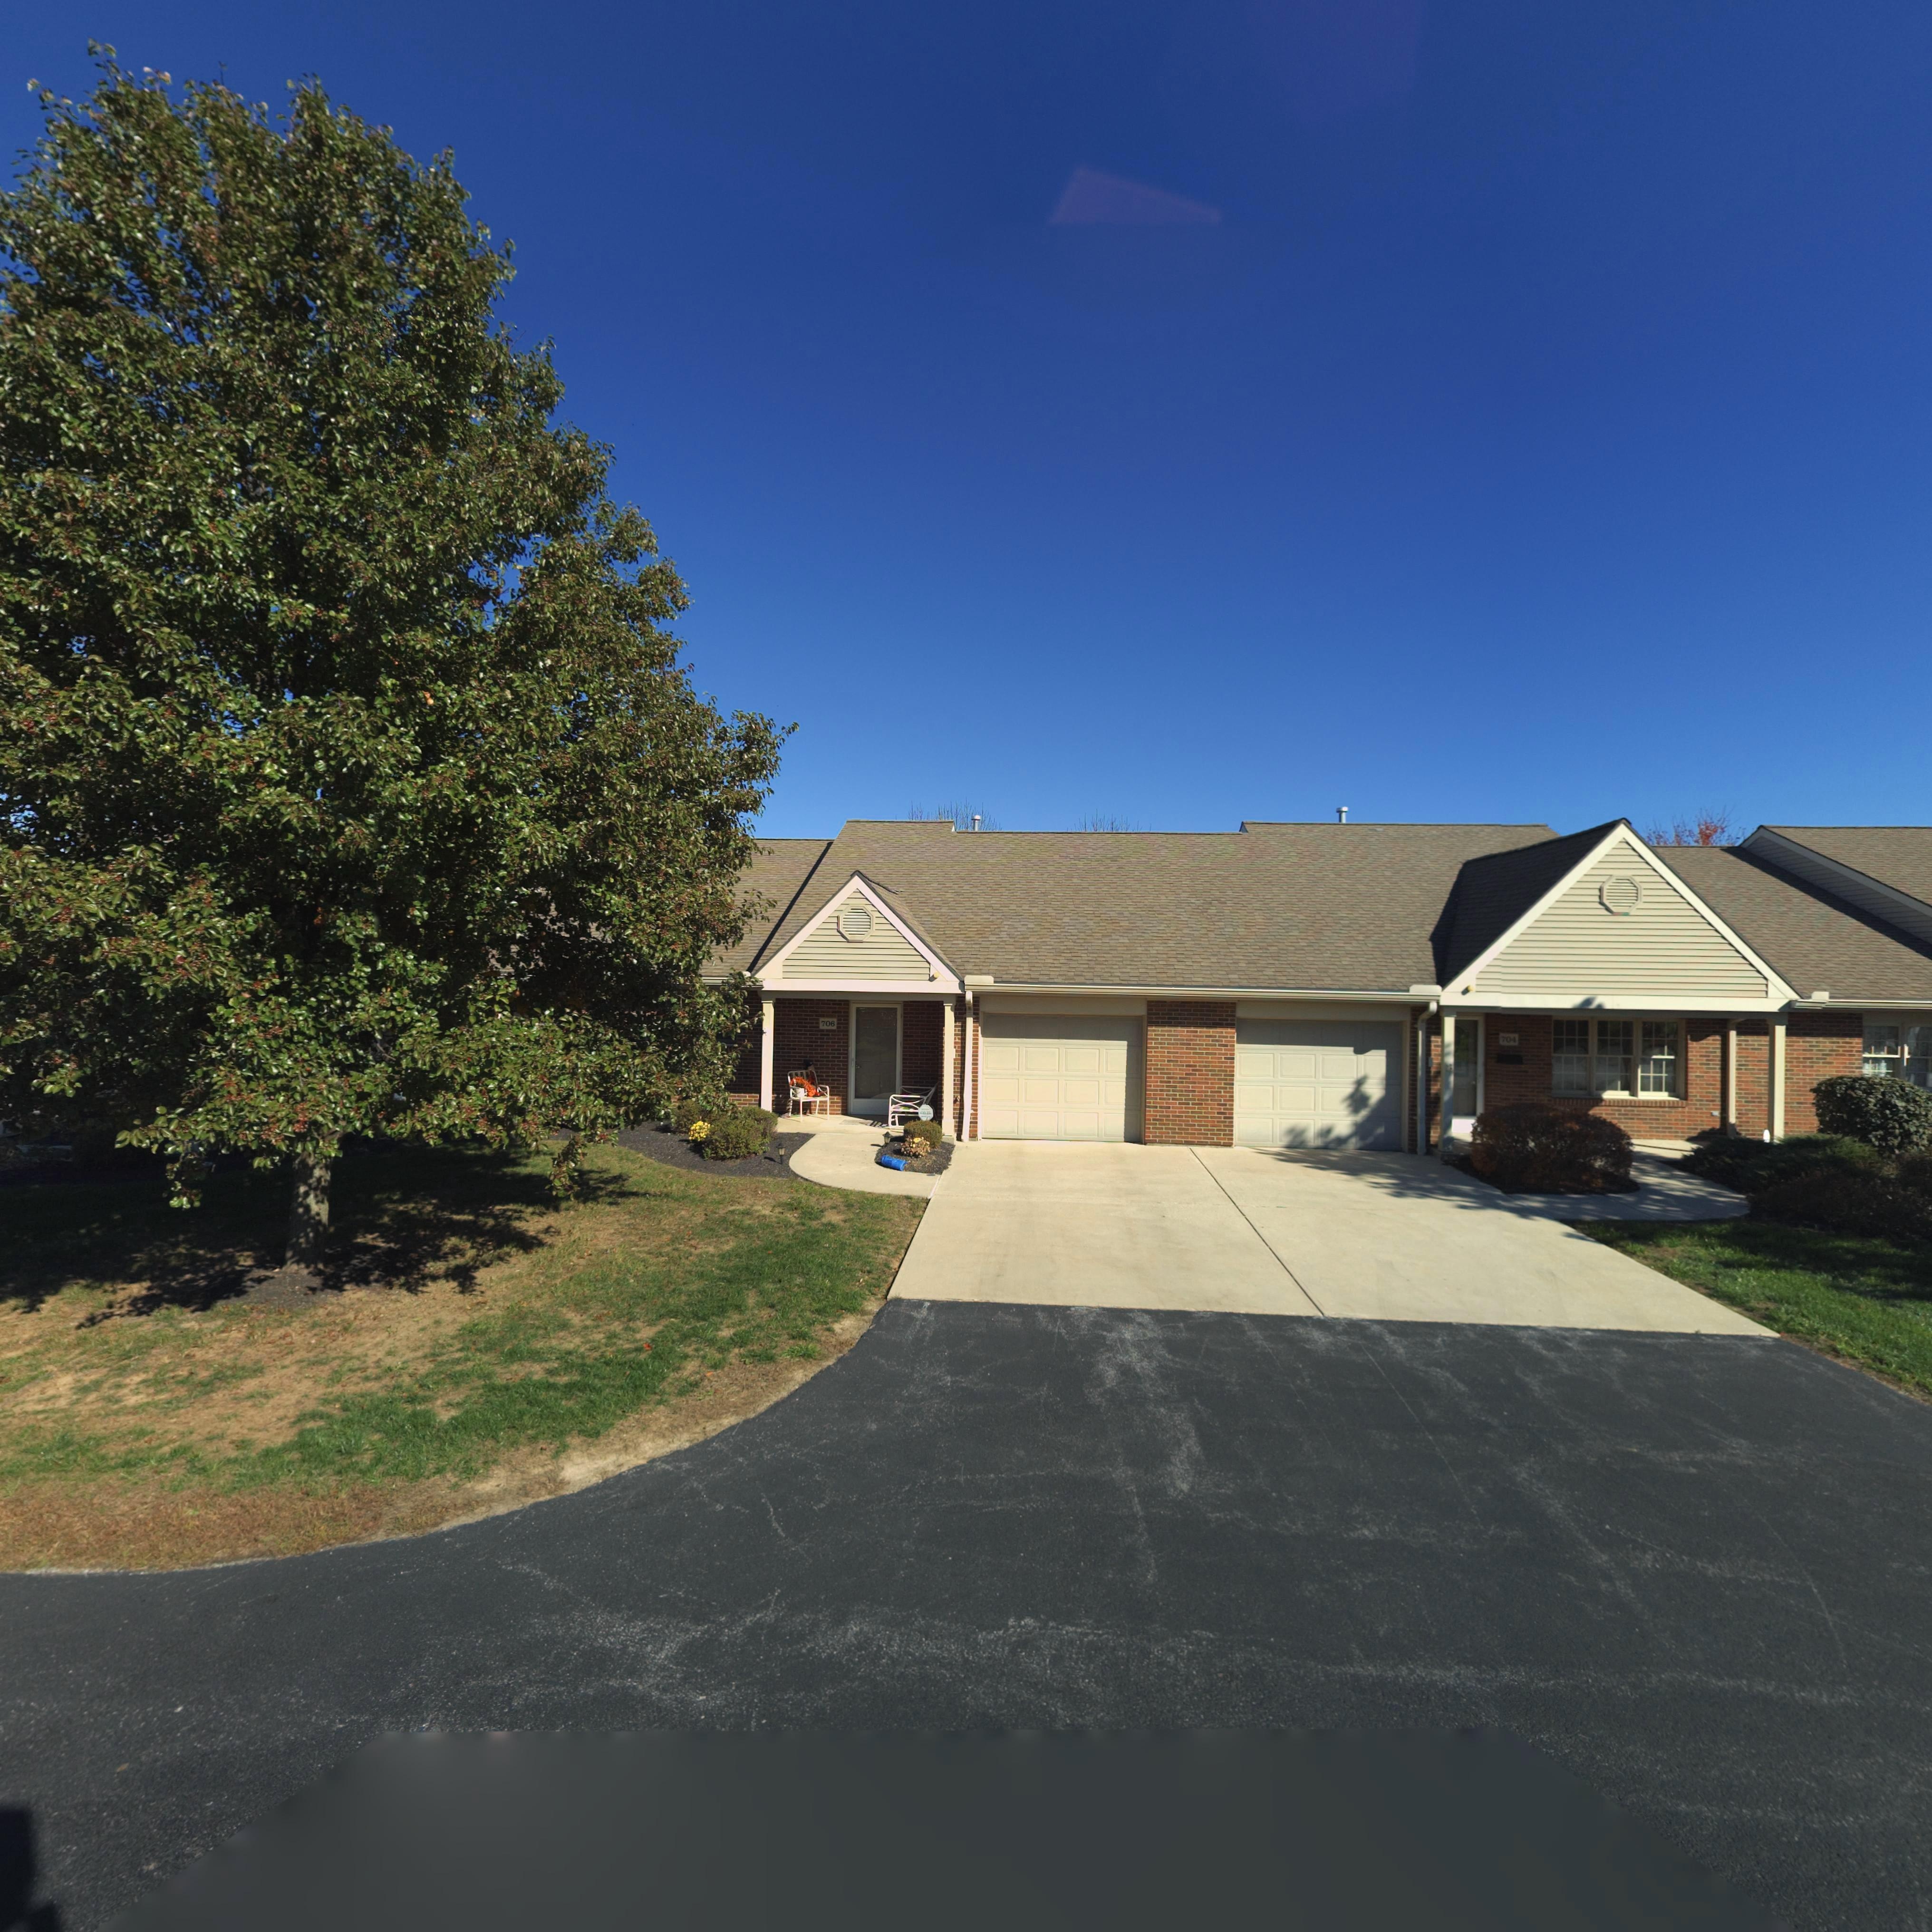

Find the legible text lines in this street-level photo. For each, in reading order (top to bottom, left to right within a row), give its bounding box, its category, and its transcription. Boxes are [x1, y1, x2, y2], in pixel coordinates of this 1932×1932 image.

[821, 1020, 835, 1027] StreetNumber: 706
[1500, 1035, 1517, 1043] StreetNumber: 704